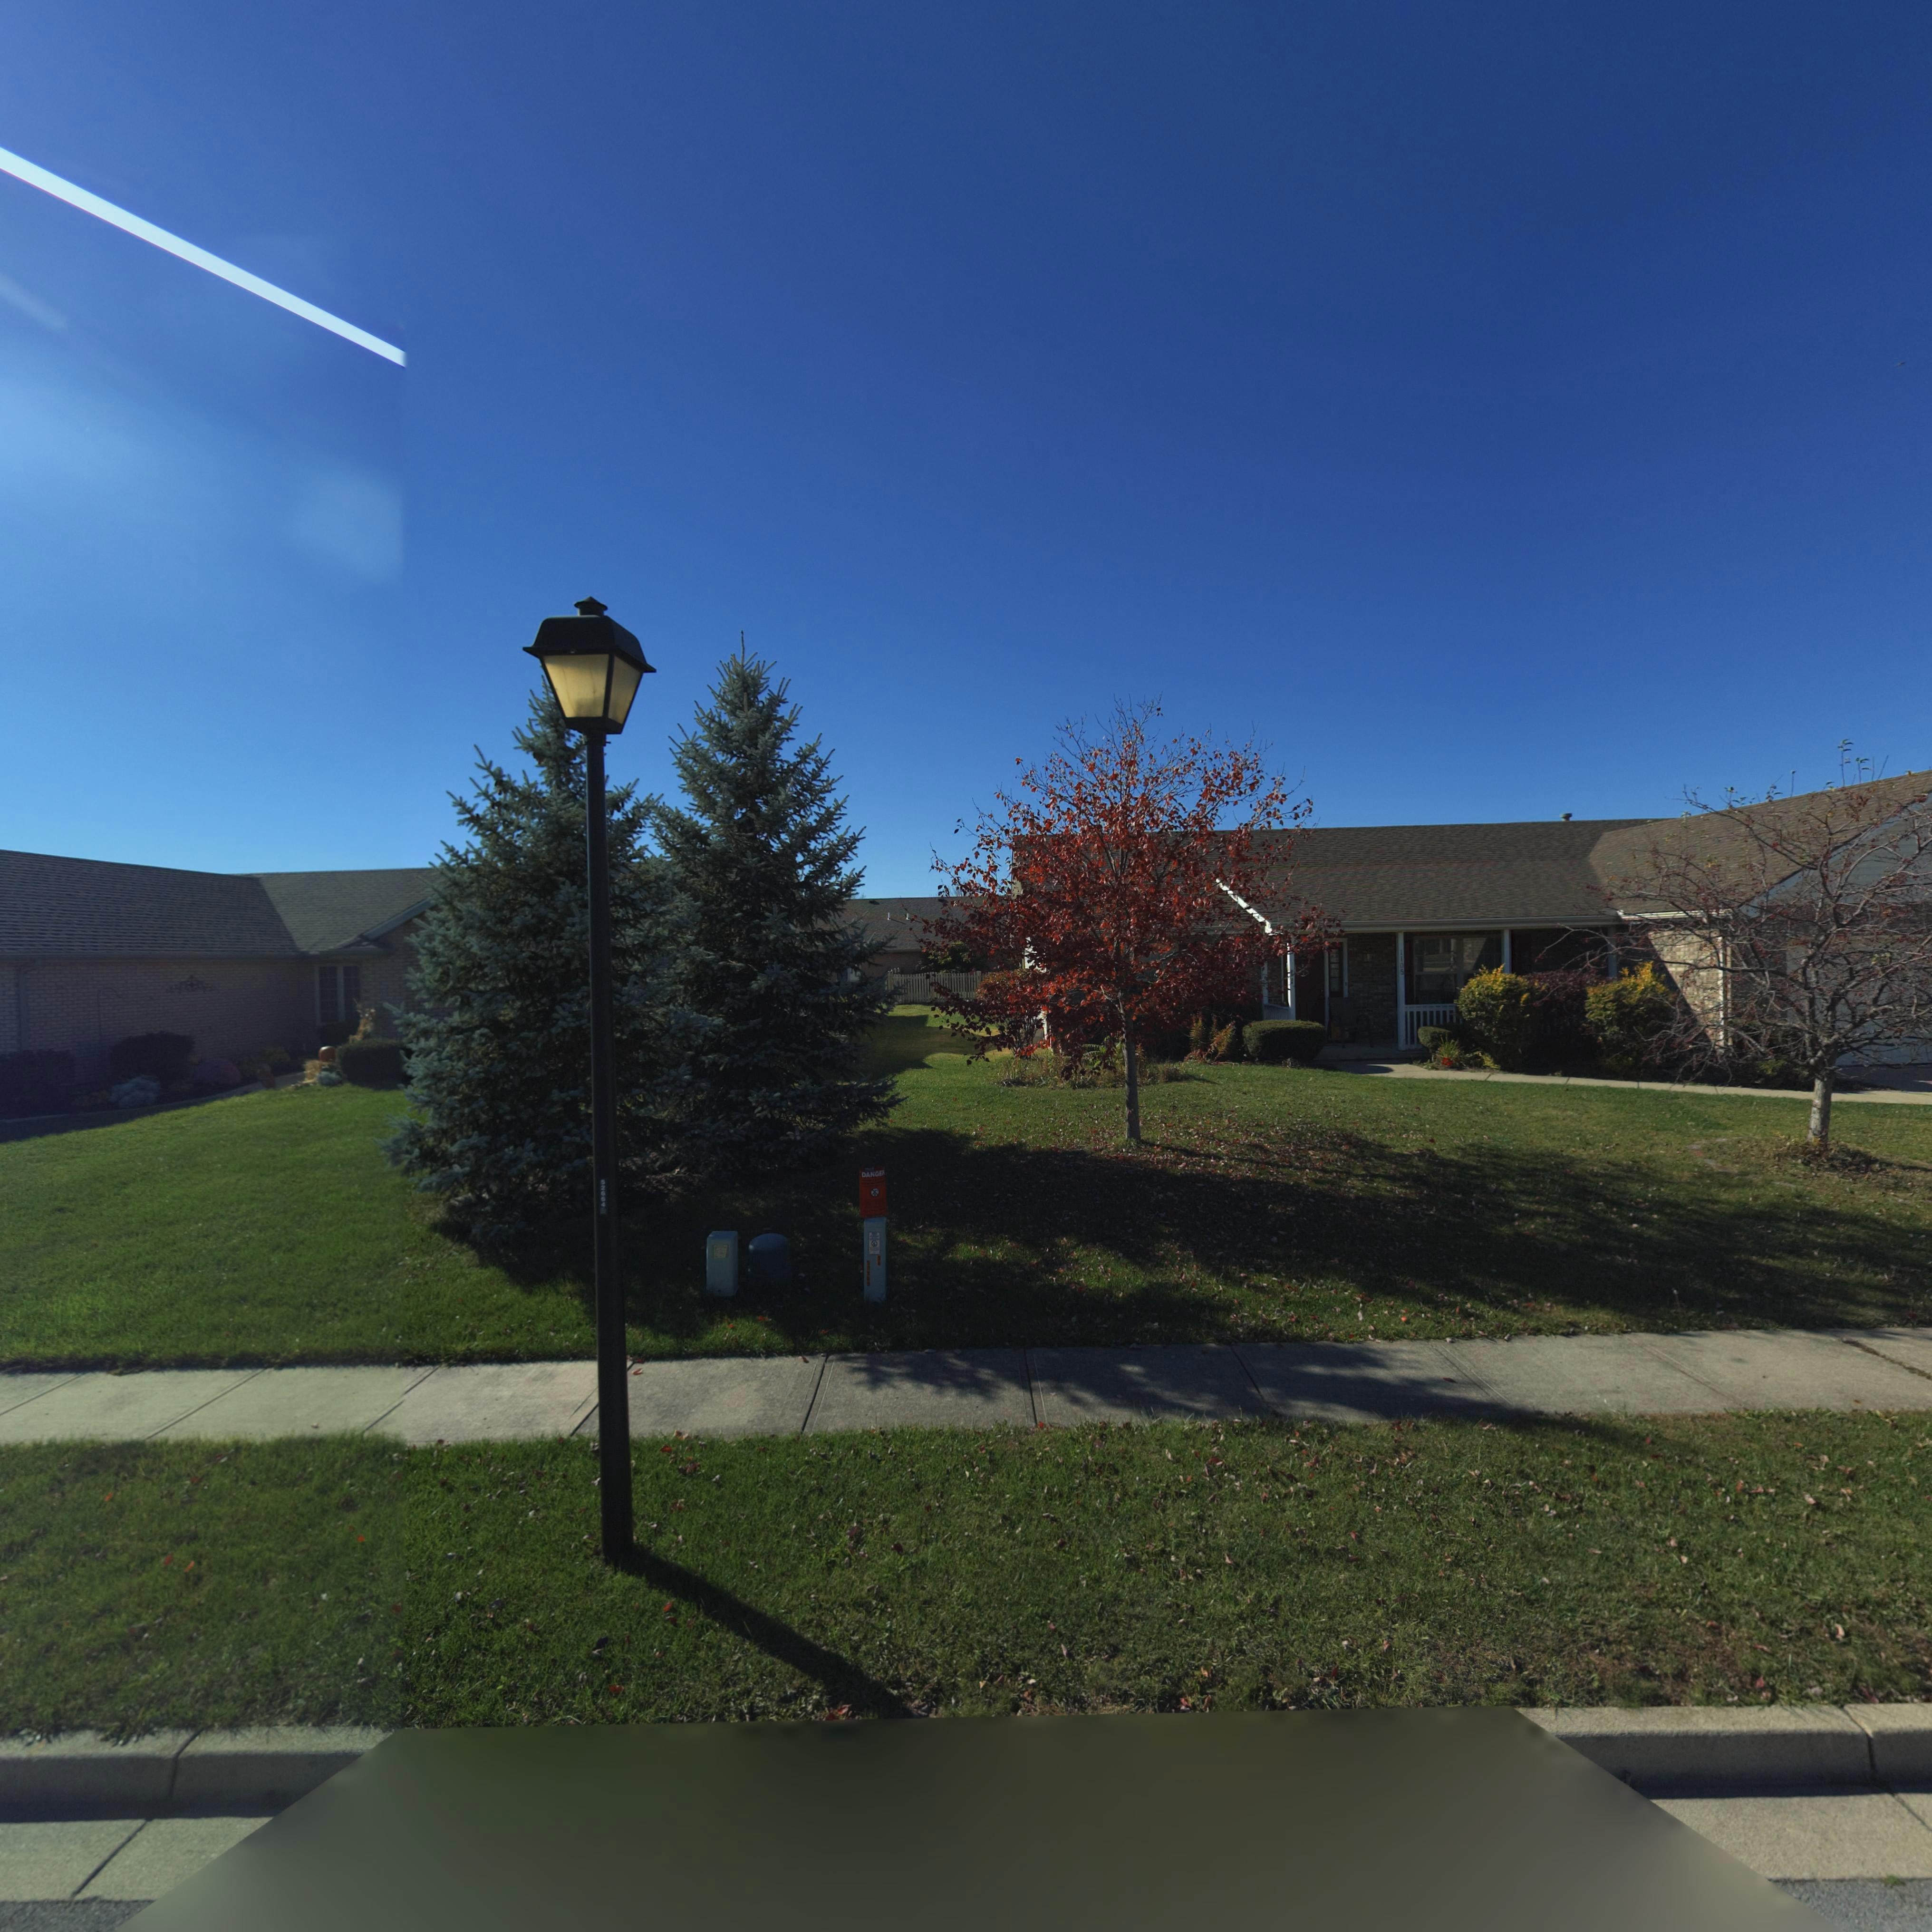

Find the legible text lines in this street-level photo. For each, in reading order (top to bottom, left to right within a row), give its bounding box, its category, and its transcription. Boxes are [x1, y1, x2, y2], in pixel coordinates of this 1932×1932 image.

[1399, 948, 1405, 976] StreetNumber: 1105